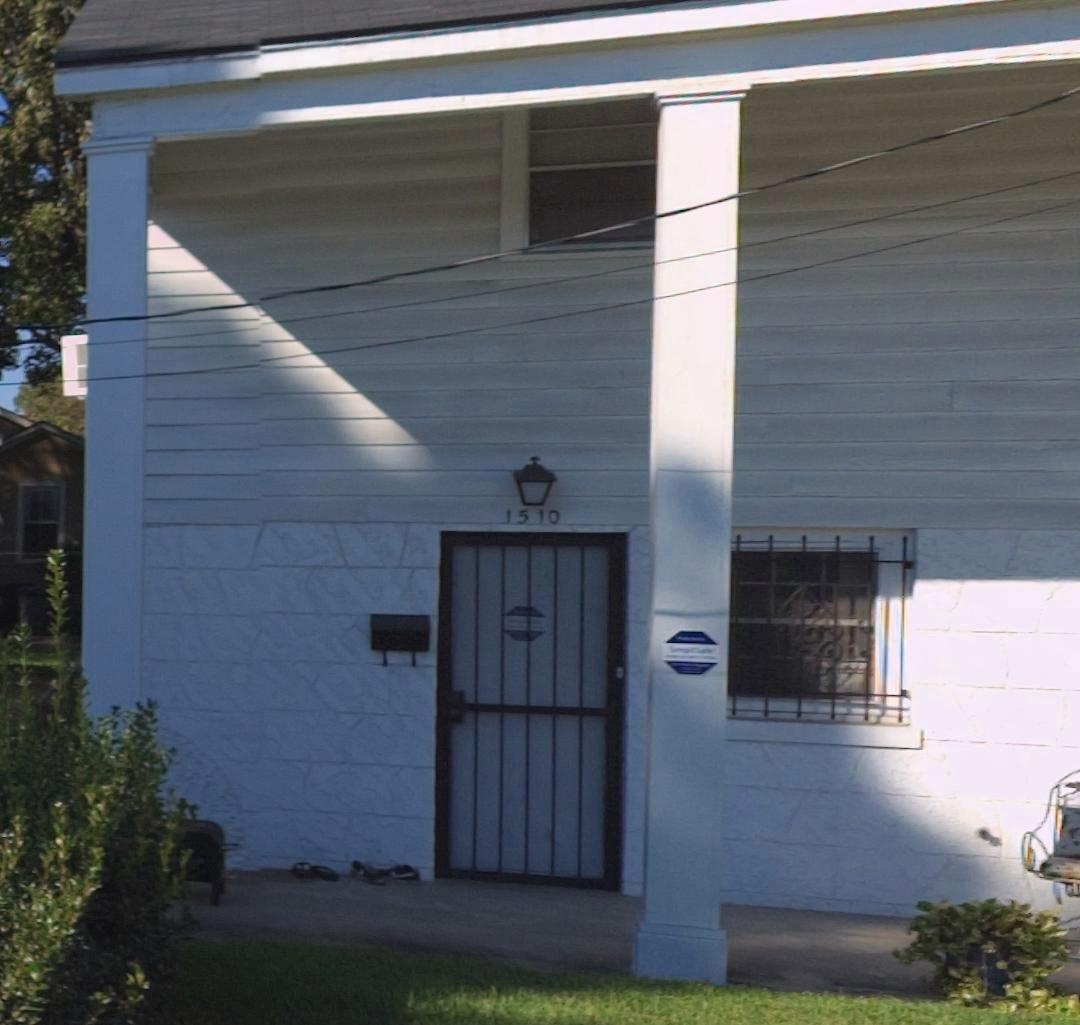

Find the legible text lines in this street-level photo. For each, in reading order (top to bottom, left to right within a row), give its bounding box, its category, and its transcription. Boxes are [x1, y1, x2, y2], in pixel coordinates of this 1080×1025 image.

[503, 506, 563, 527] StreetNumber: 1510